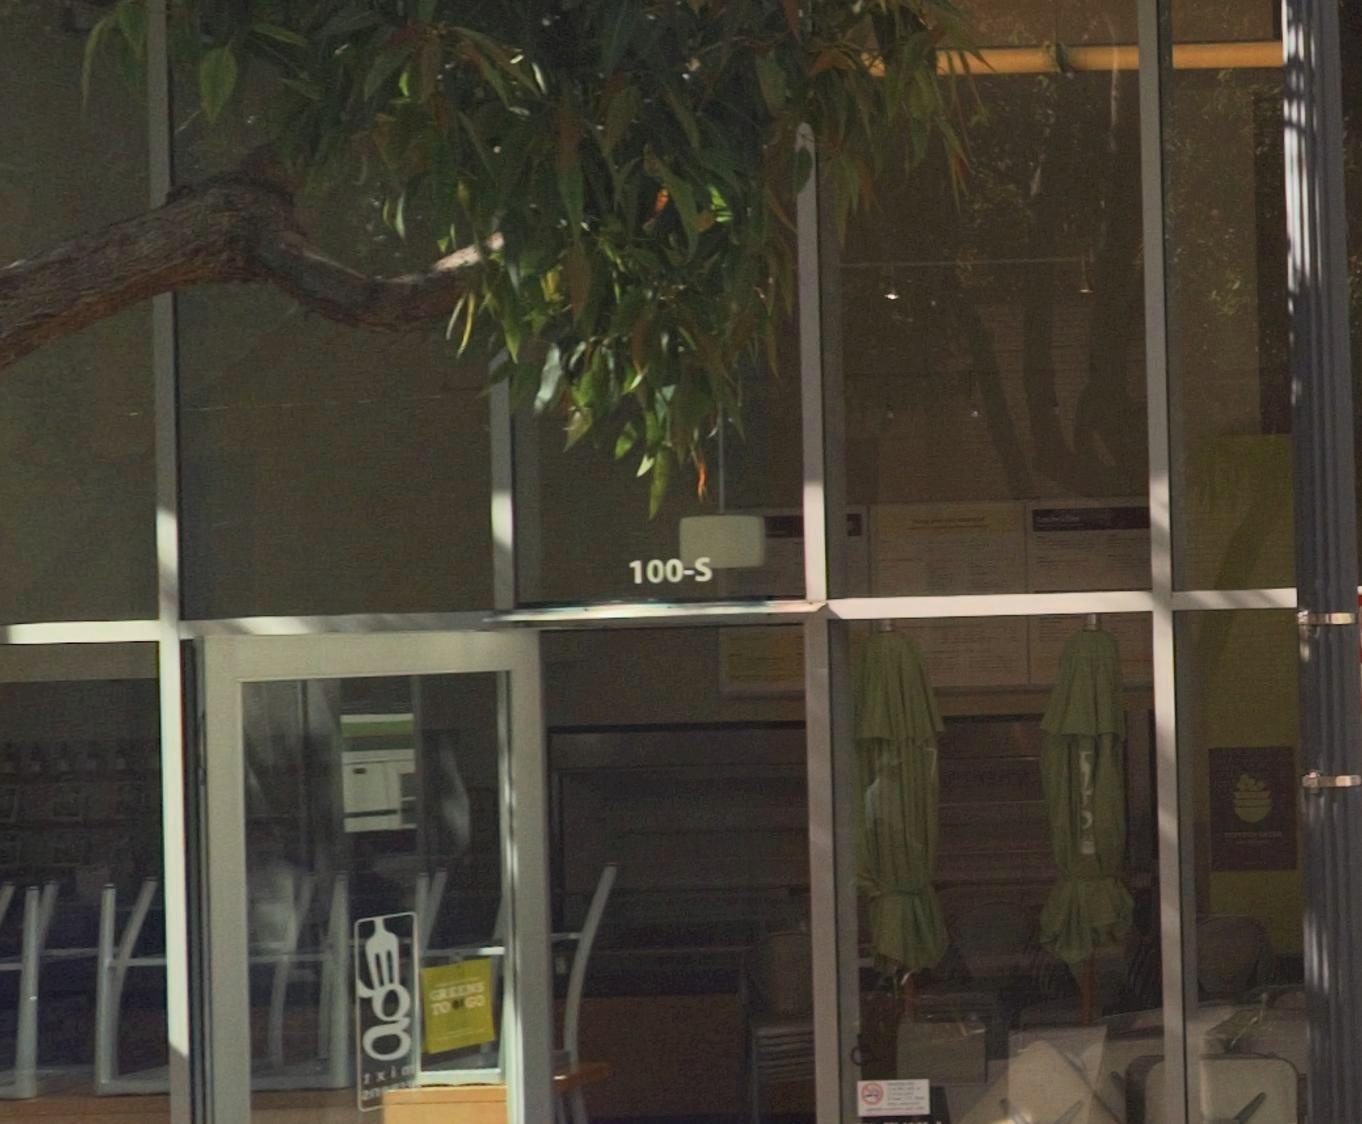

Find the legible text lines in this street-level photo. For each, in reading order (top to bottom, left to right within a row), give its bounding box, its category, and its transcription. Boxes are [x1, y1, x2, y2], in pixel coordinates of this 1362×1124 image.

[628, 553, 714, 585] StreetNumber: 100-S
[428, 980, 488, 1003] None: GREENS
[429, 993, 488, 1018] None: TO GO
[362, 983, 412, 1062] None: g